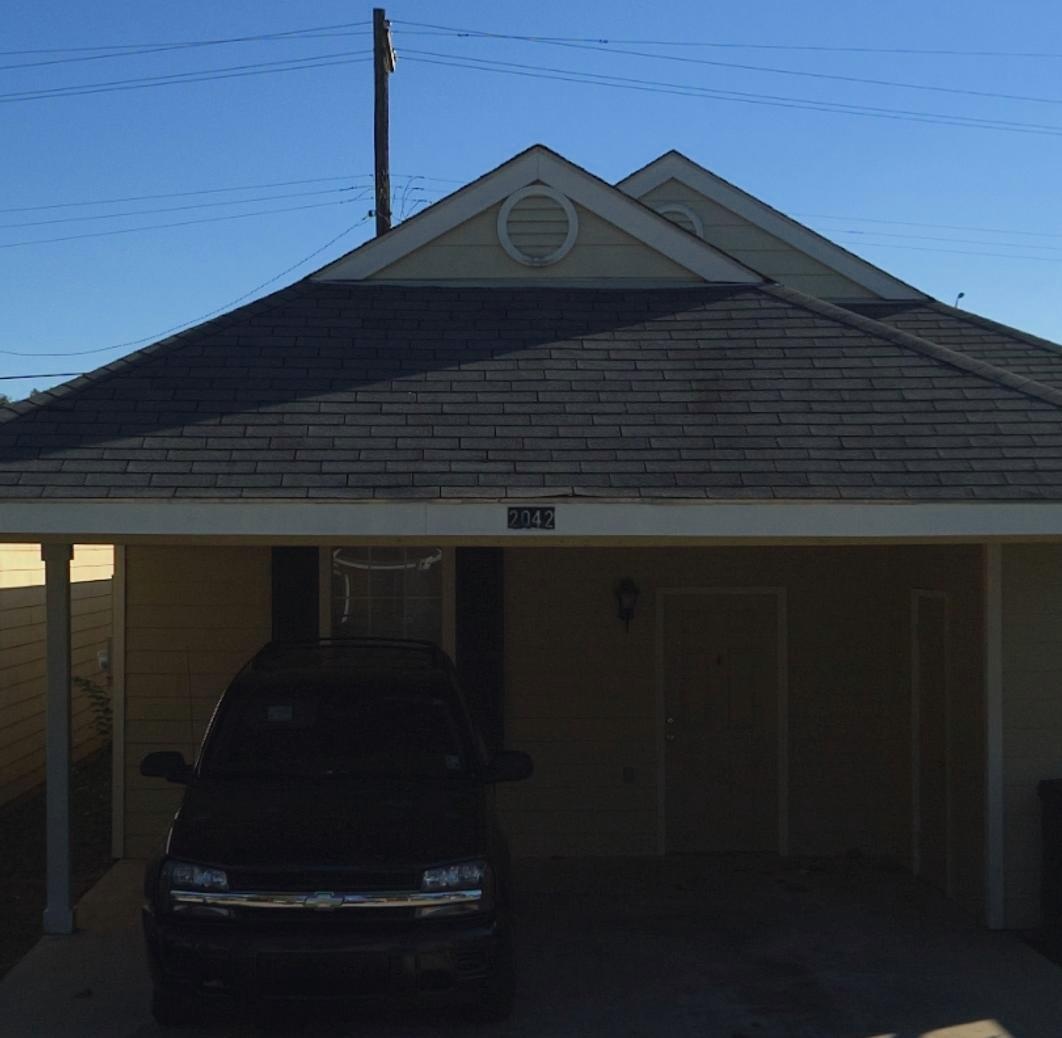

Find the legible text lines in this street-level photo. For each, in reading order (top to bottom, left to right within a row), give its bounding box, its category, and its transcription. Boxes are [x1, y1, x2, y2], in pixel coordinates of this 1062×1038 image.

[508, 508, 555, 528] StreetNumber: 2042